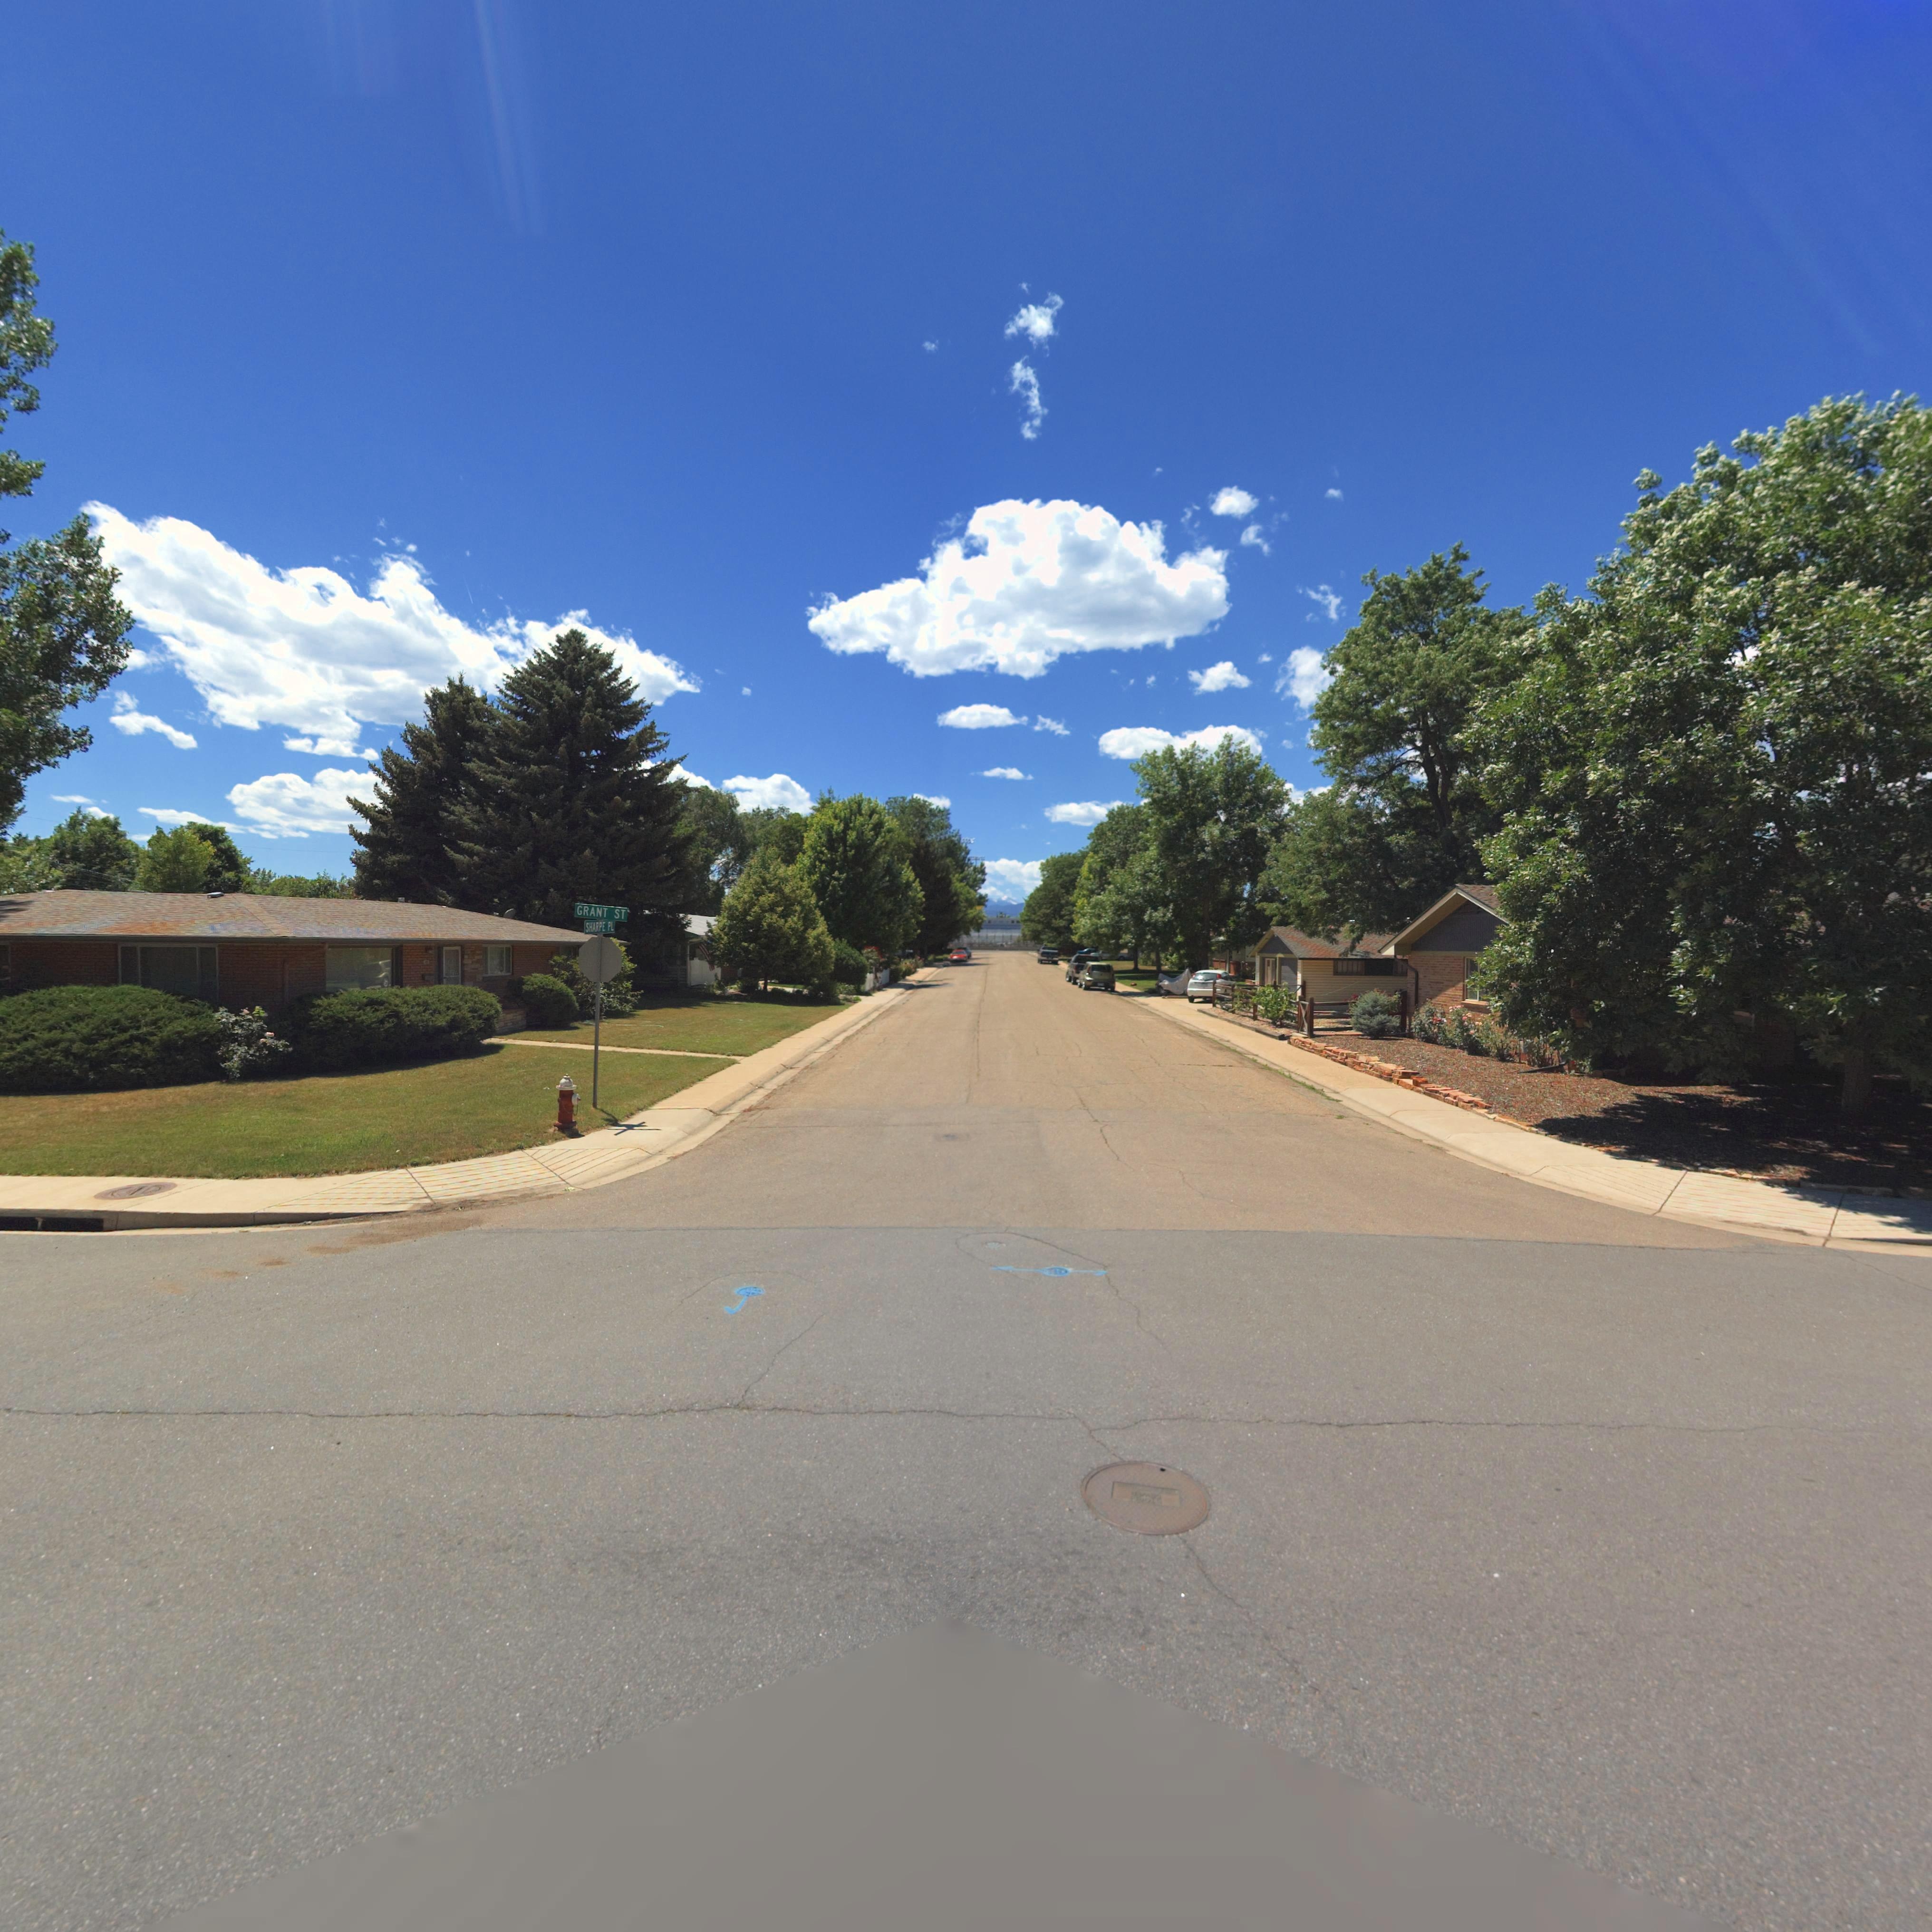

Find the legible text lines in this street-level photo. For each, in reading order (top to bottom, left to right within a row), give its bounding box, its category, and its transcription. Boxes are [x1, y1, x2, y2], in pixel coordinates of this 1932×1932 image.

[576, 905, 626, 919] StreetName: GRANT ST
[584, 920, 615, 933] StreetName: SHARPE PL